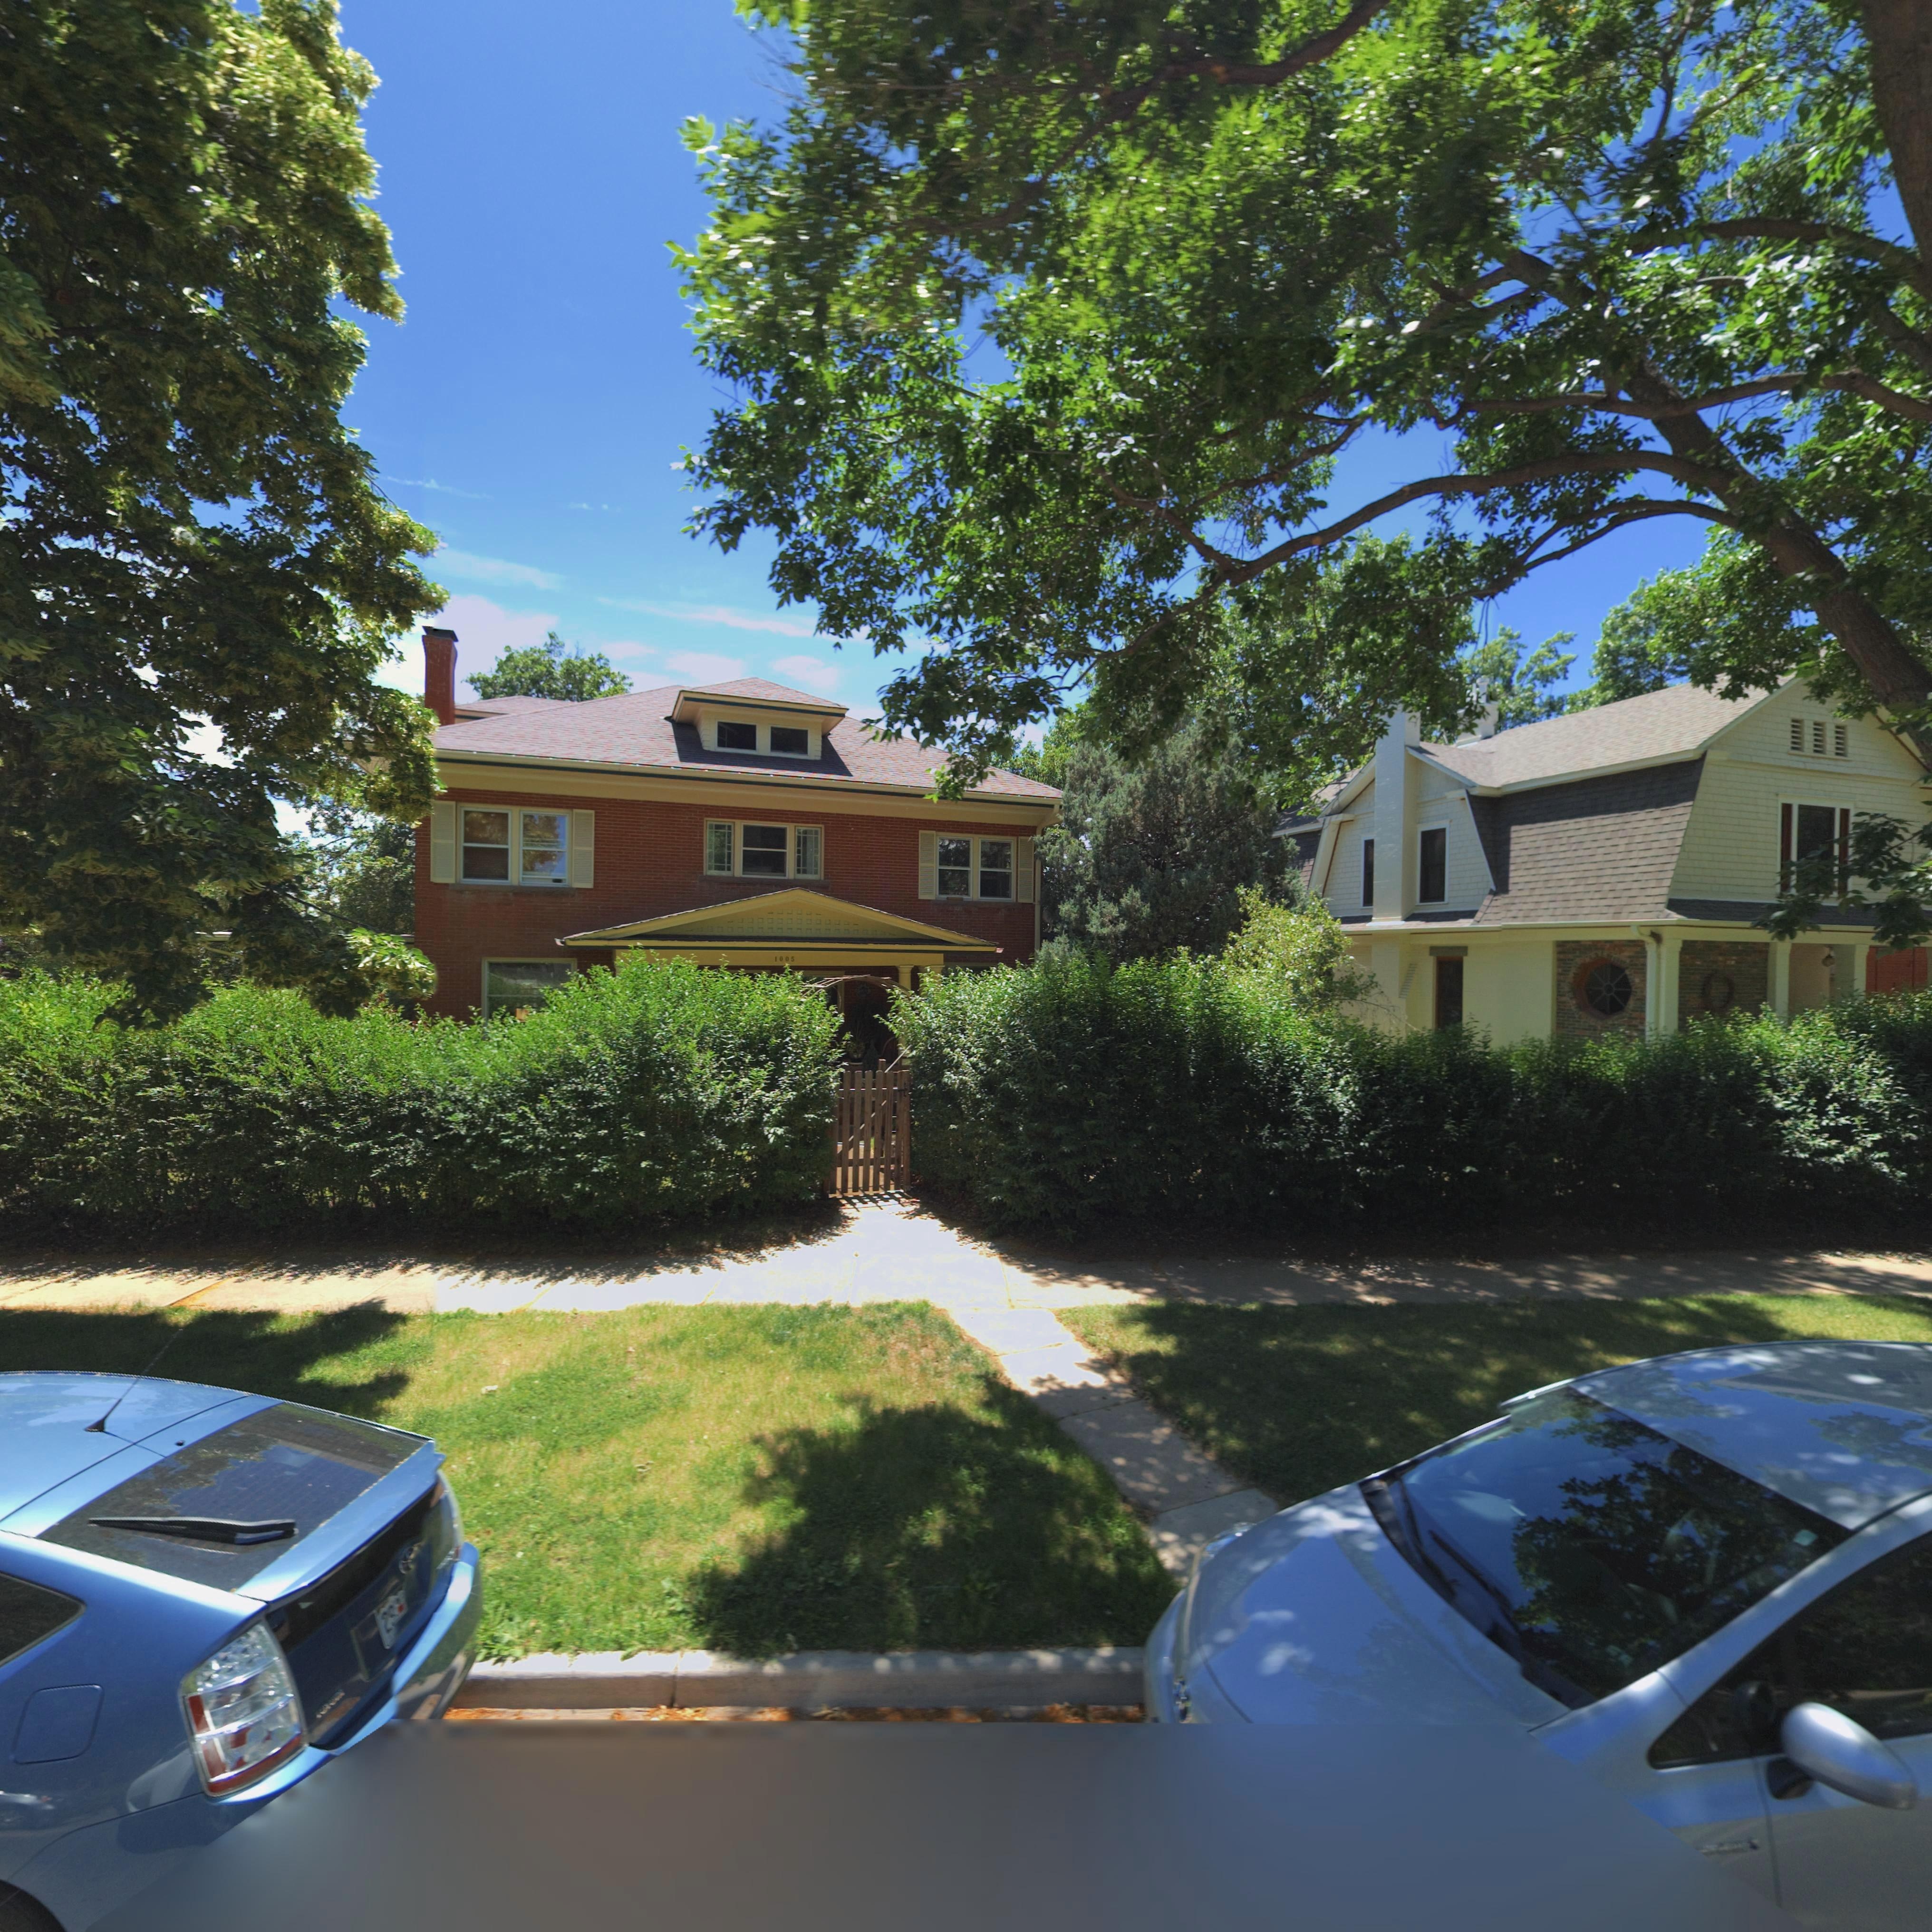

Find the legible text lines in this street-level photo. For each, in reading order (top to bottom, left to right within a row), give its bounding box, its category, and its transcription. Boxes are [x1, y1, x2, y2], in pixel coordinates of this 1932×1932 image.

[774, 956, 794, 962] StreetNumber: 1005